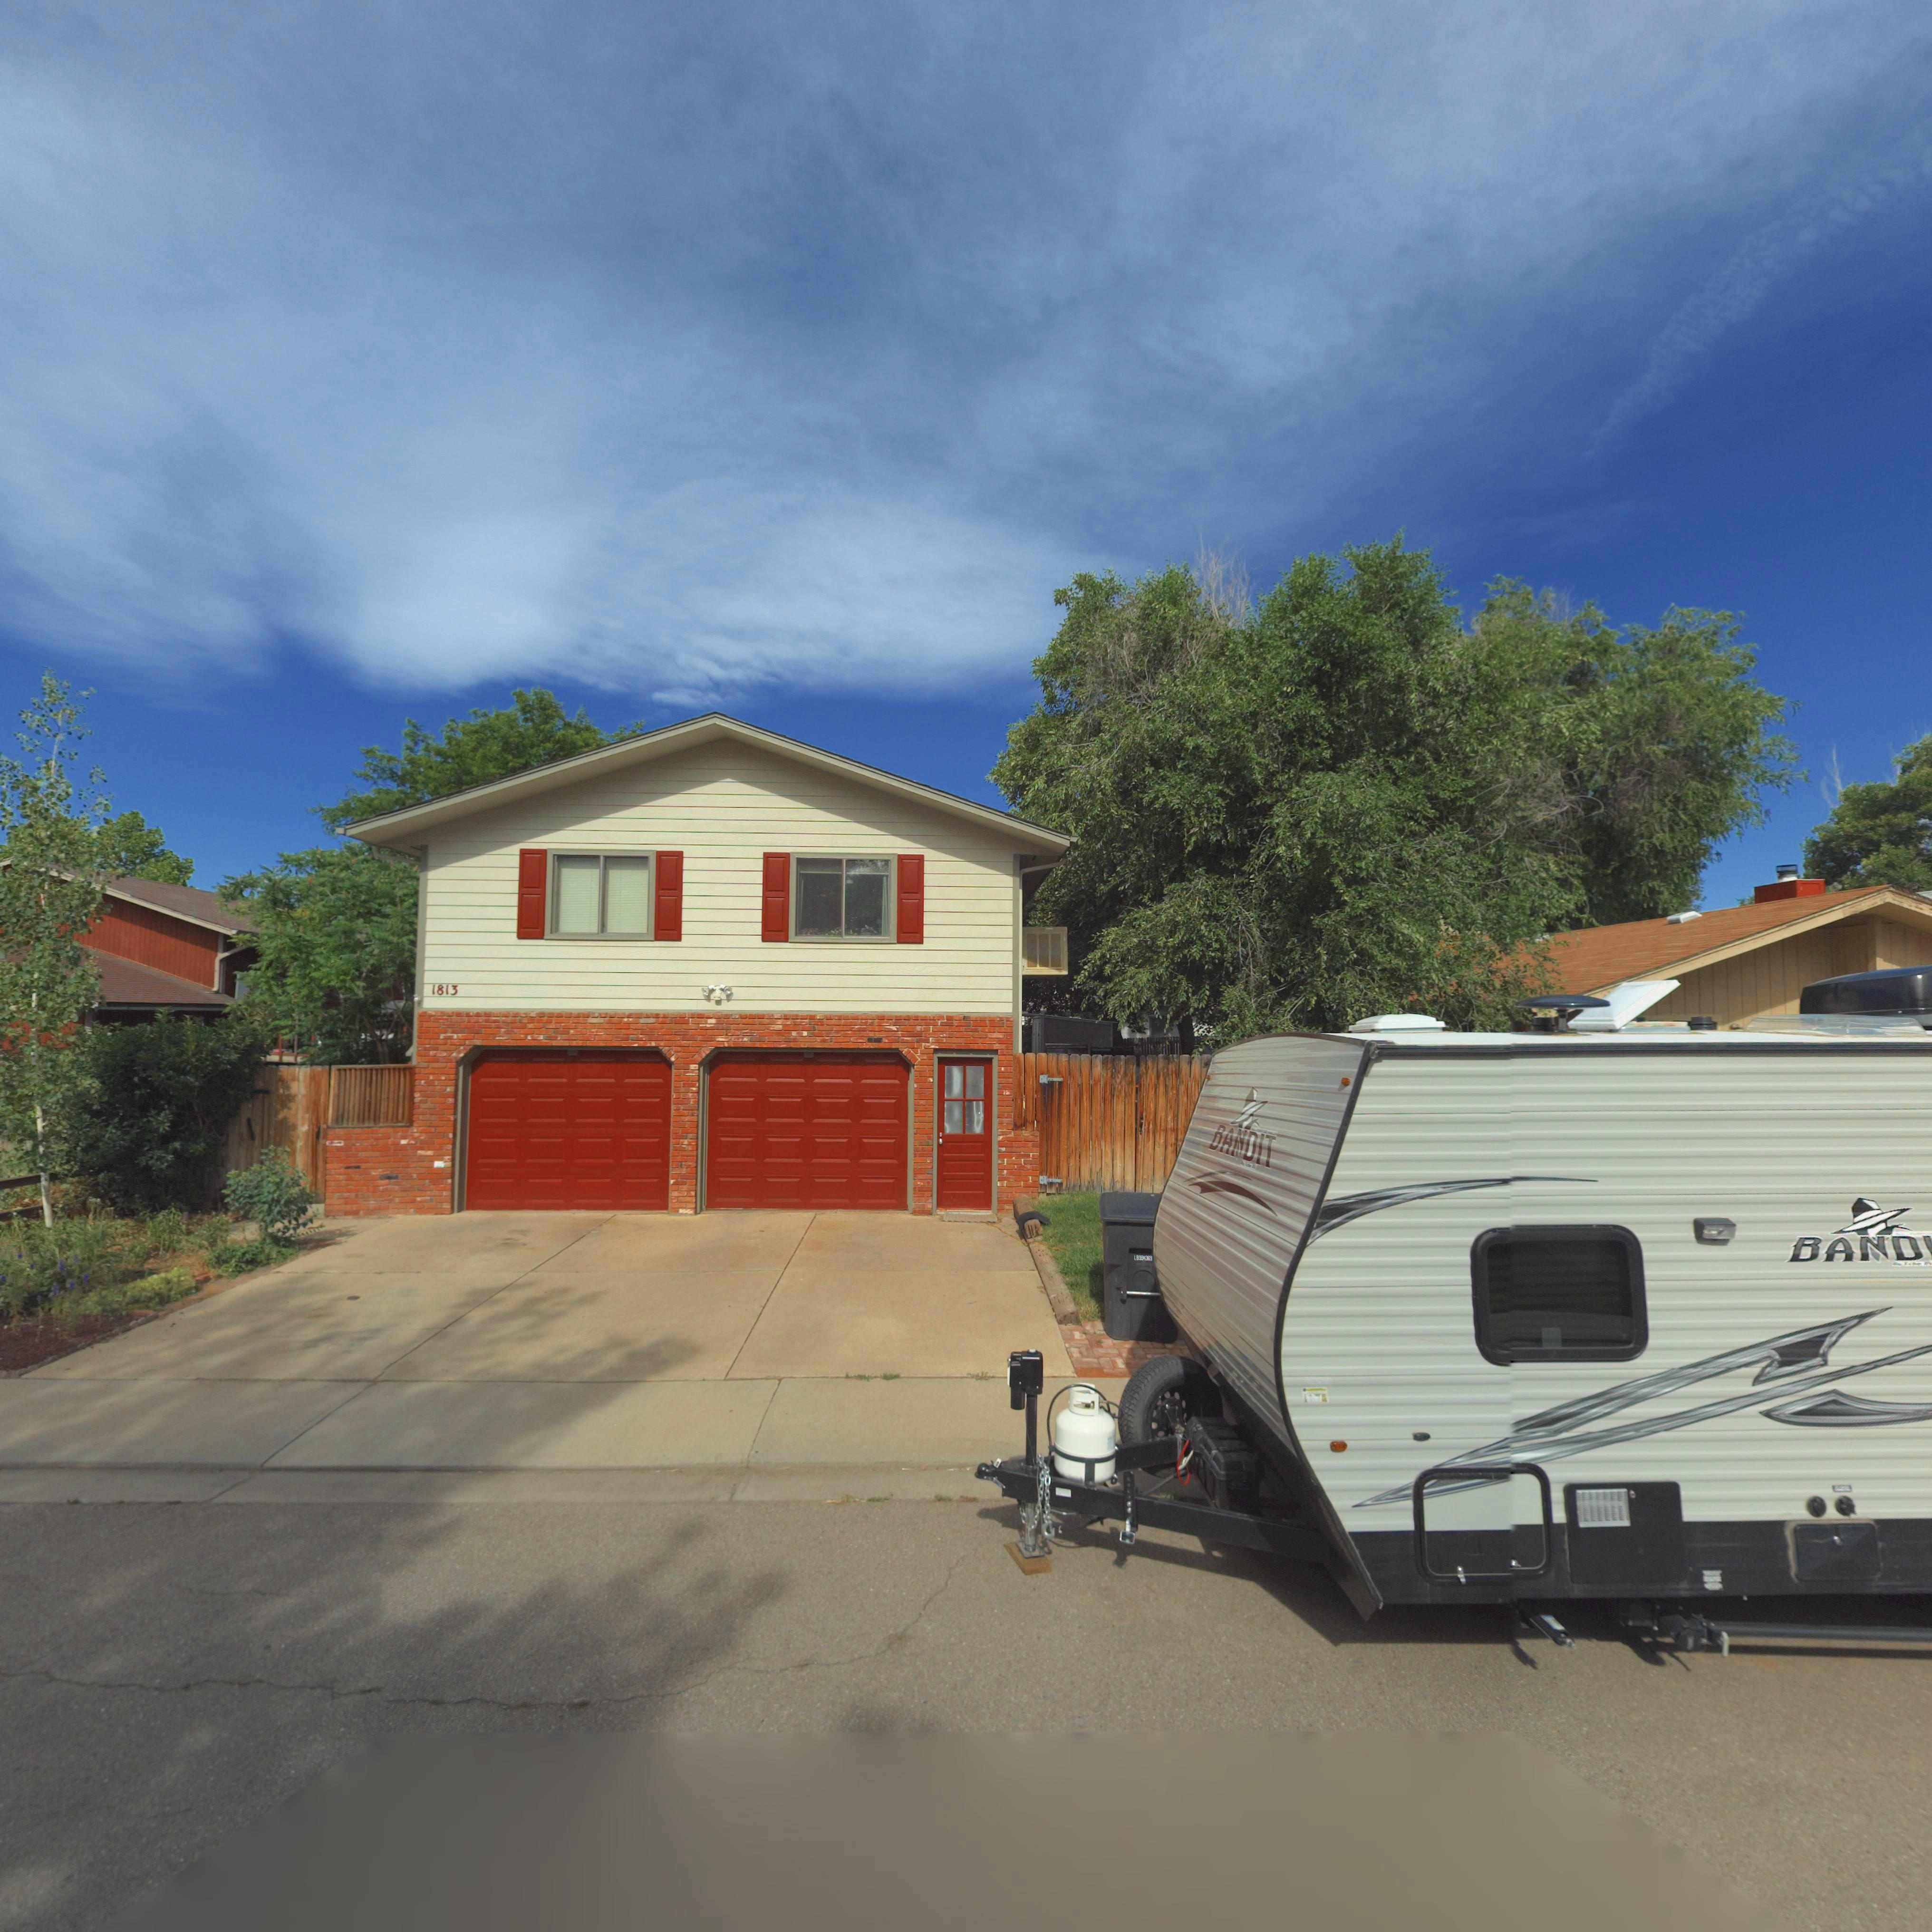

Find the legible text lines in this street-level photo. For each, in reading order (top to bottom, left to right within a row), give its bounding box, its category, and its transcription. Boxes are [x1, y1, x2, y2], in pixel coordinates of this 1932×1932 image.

[432, 984, 458, 996] StreetNumber: 1813